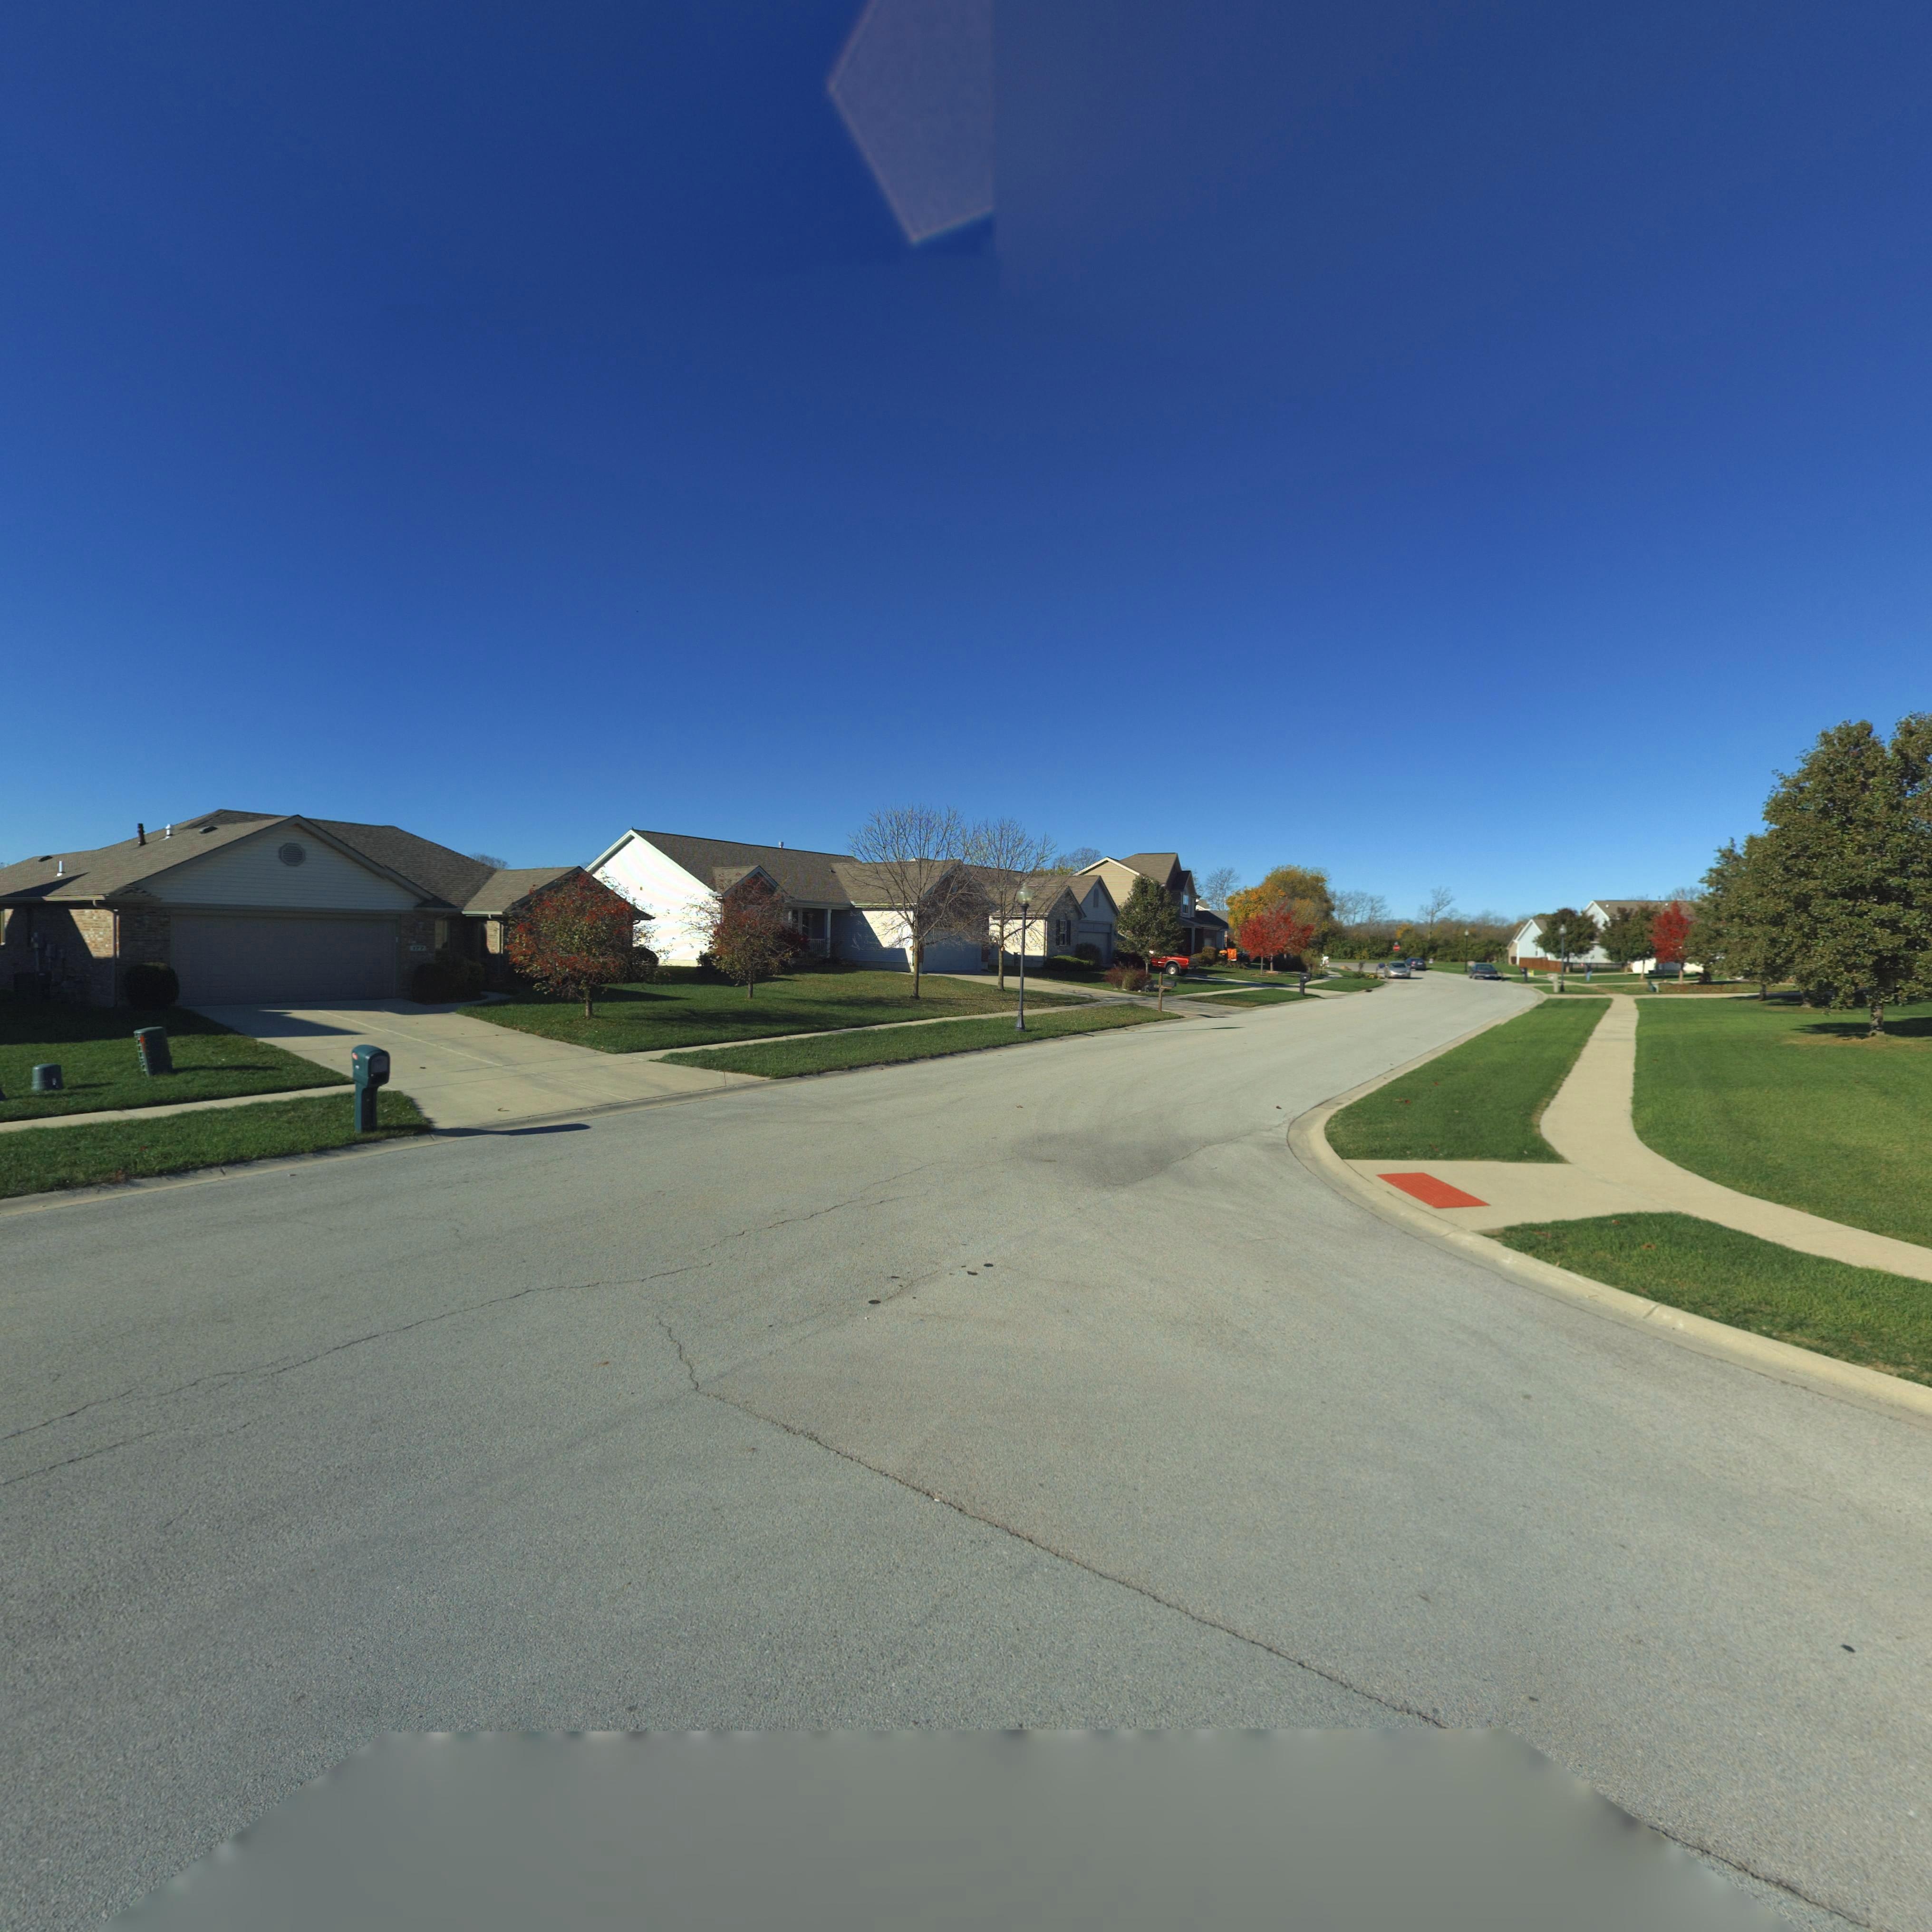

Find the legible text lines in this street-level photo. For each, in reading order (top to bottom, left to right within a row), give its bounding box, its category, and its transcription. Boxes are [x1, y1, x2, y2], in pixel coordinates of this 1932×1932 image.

[412, 946, 425, 951] StreetNumber: 177
[355, 1064, 360, 1071] StreetNumber: 177